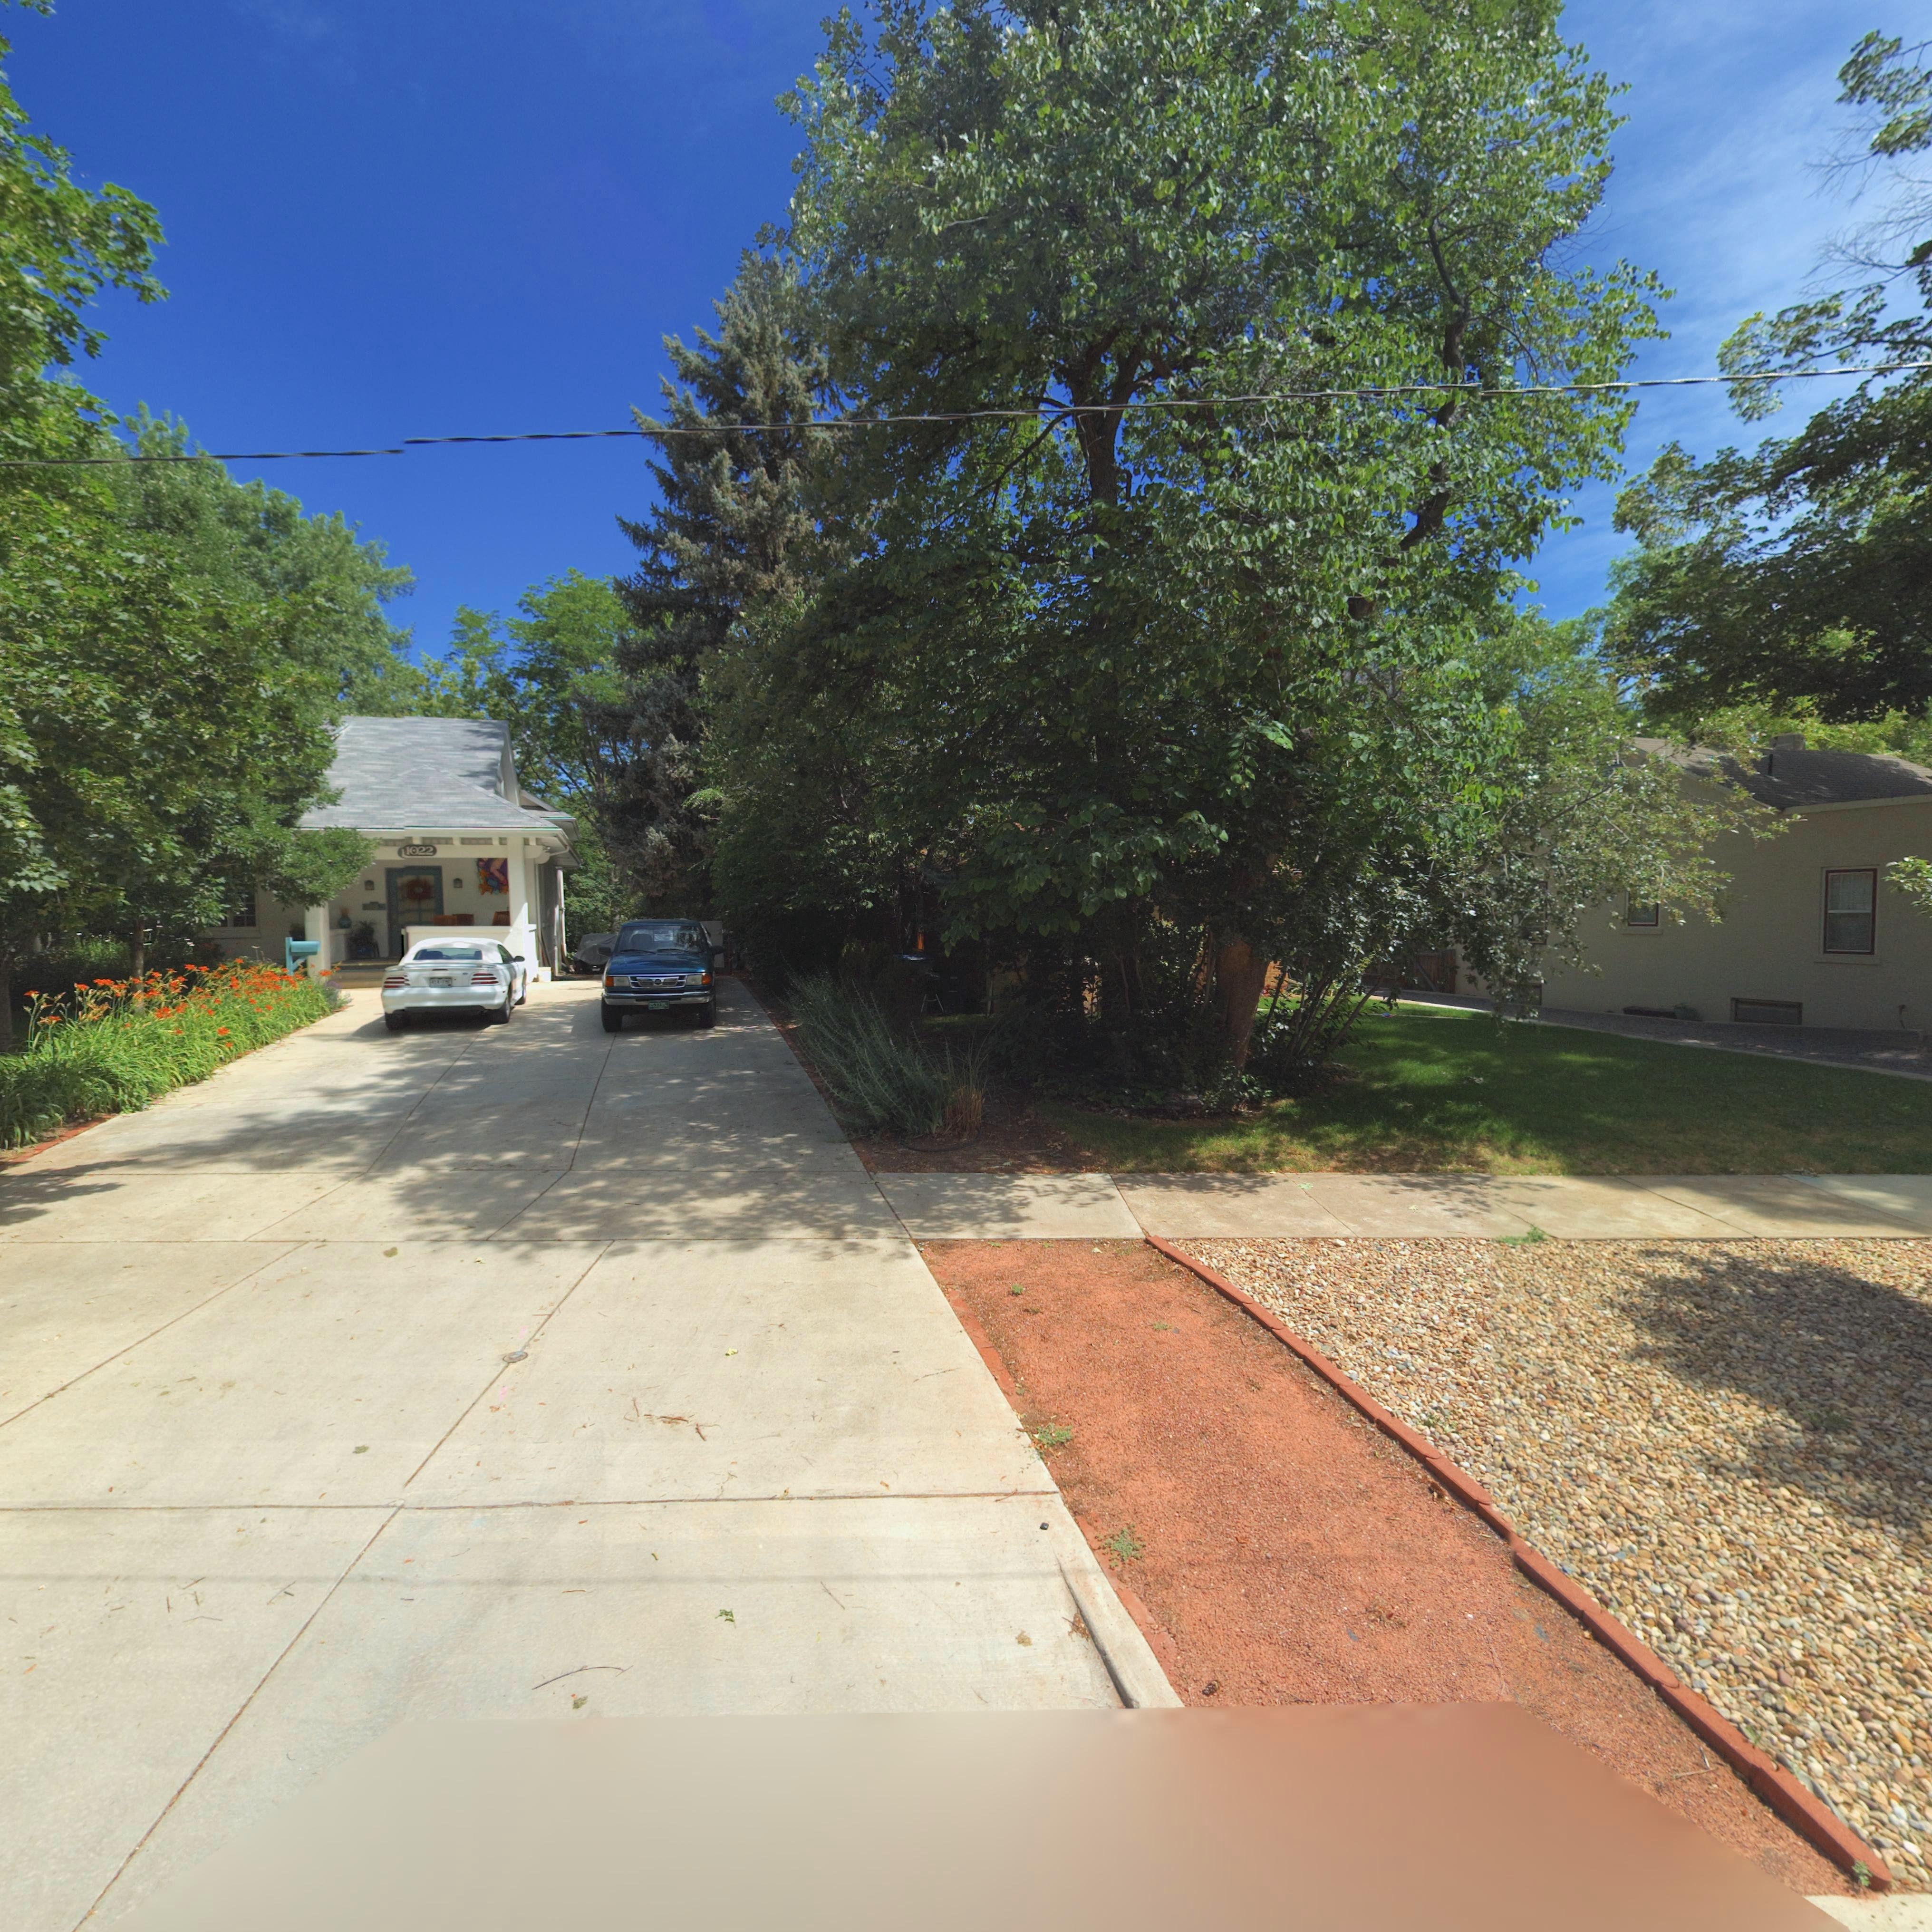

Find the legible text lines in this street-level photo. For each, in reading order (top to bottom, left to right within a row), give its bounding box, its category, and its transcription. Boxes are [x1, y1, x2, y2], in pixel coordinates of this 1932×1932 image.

[406, 846, 434, 855] StreetNumber: 1022